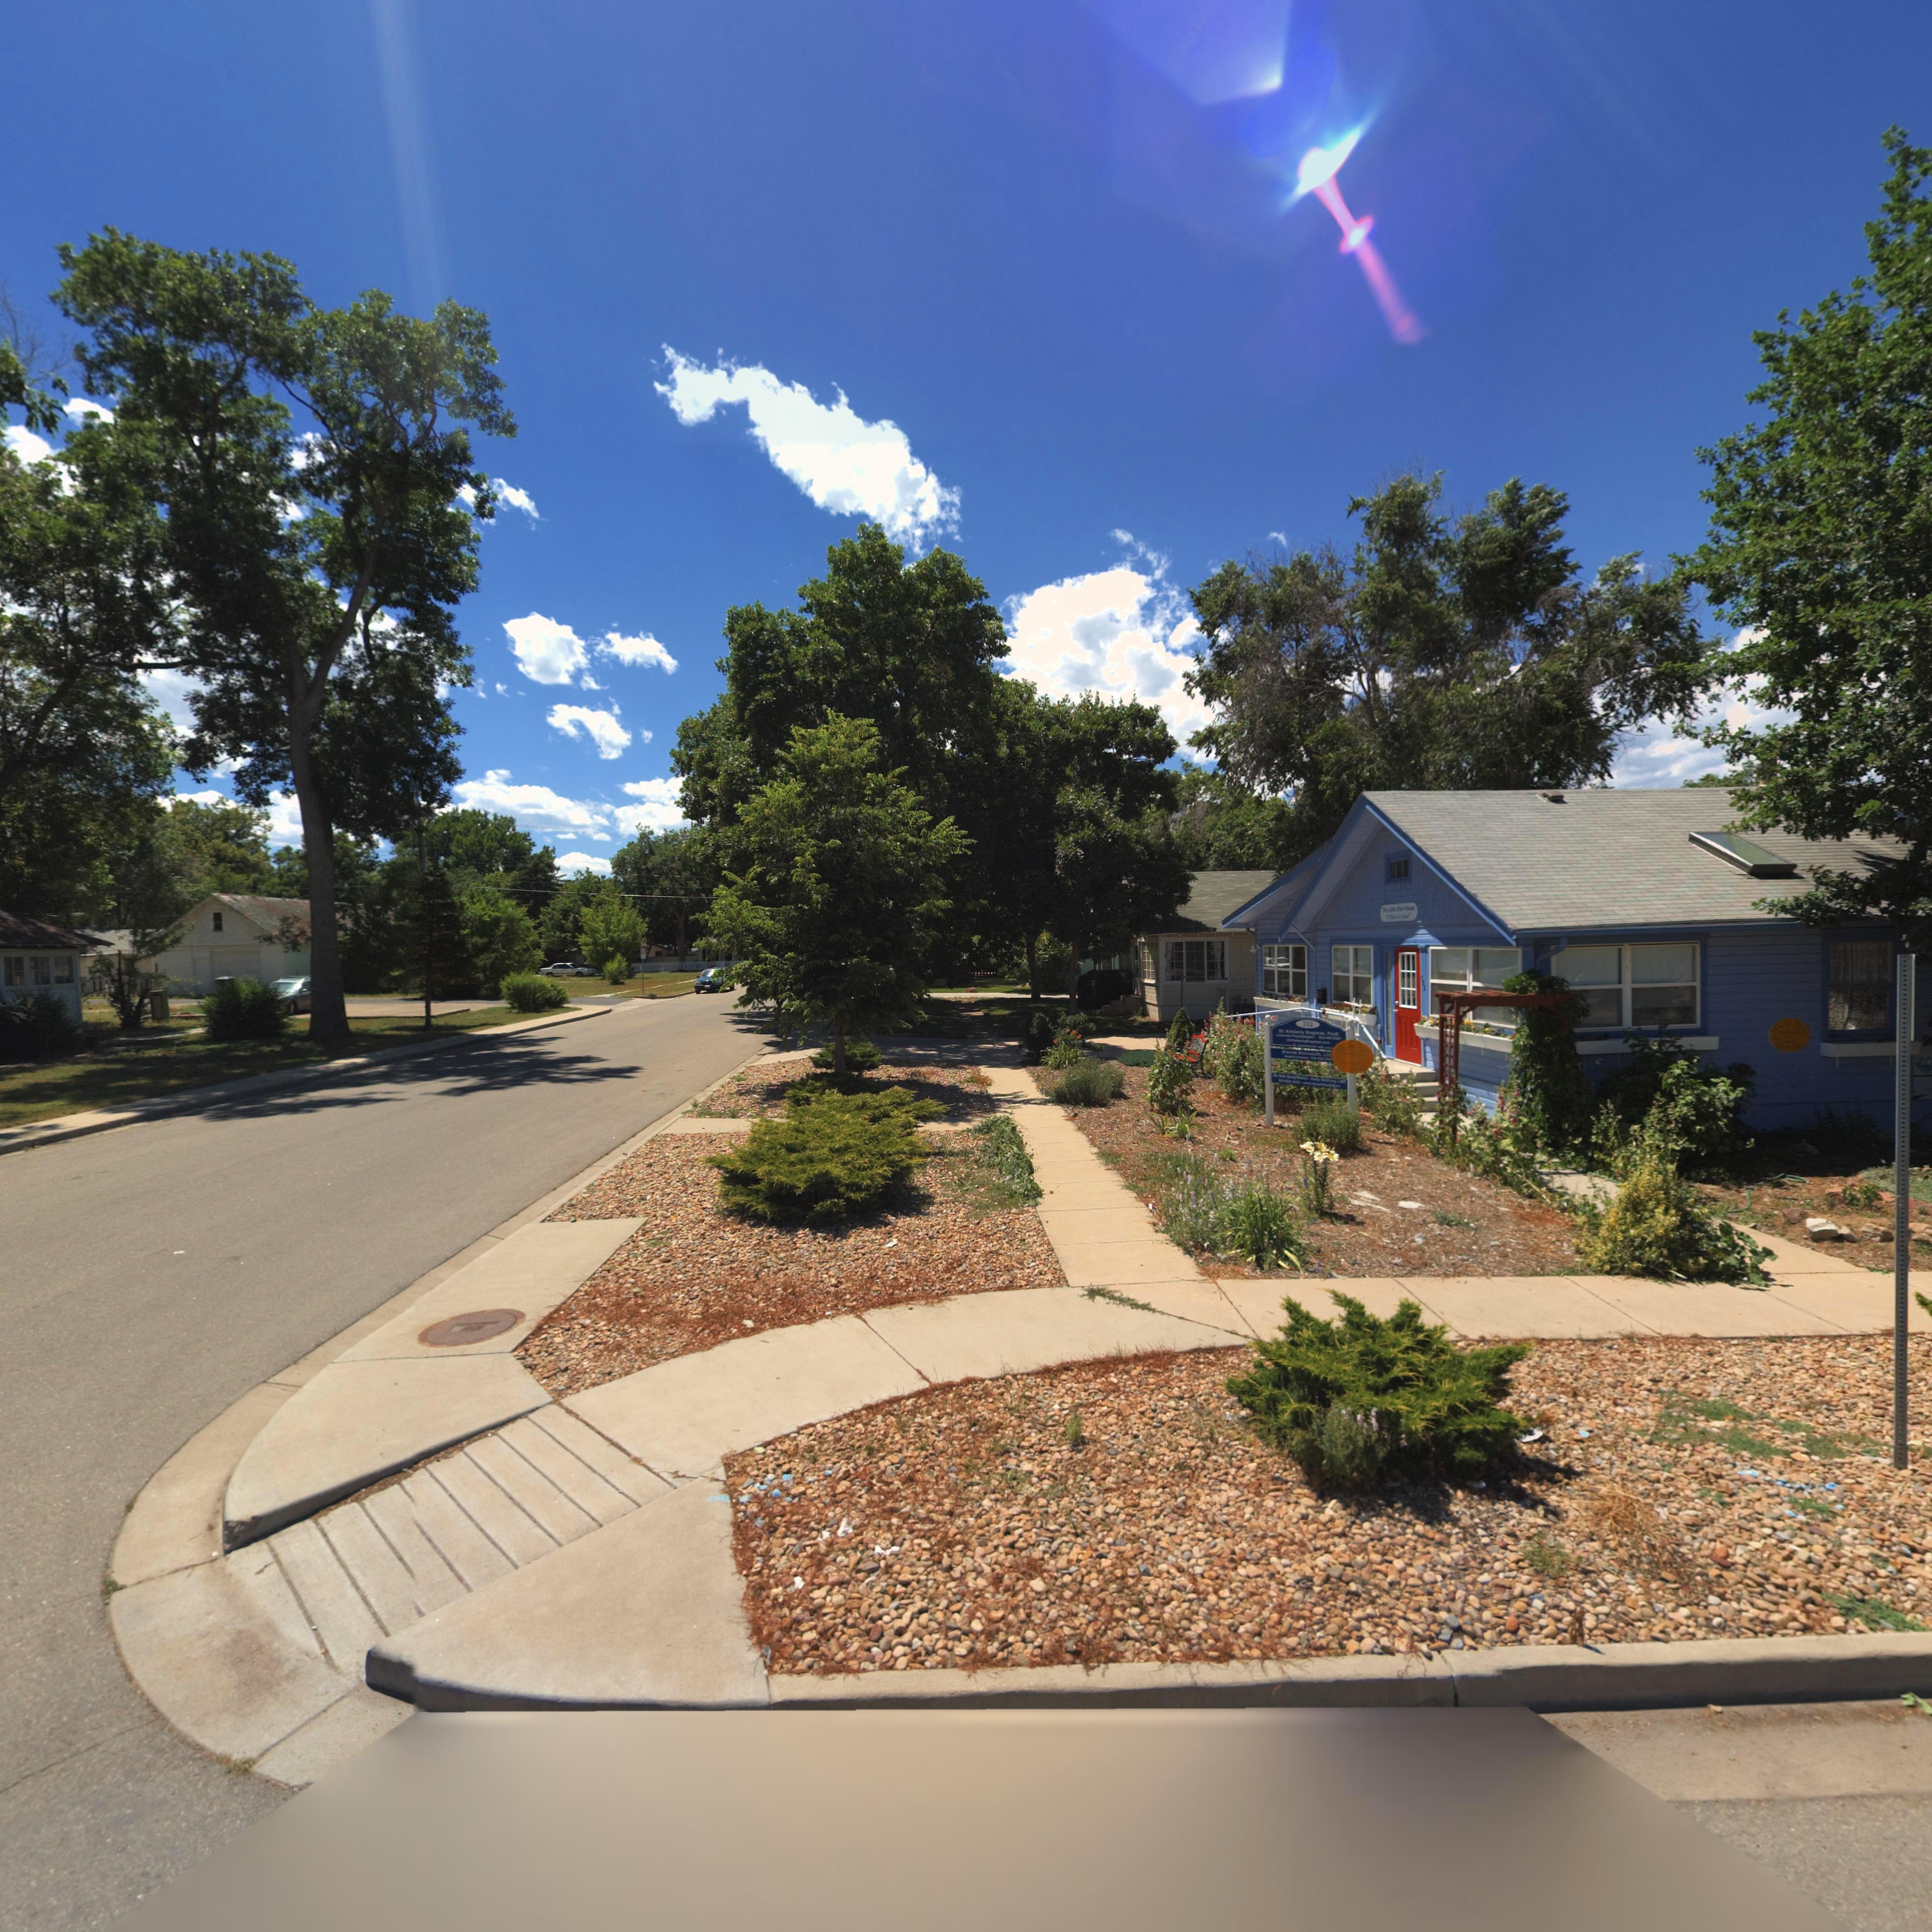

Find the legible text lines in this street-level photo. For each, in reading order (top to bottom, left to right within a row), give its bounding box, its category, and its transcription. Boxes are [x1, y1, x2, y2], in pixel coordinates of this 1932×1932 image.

[1420, 975, 1426, 991] StreetNumber: 702
[1302, 1021, 1313, 1027] StreetNumber: 702